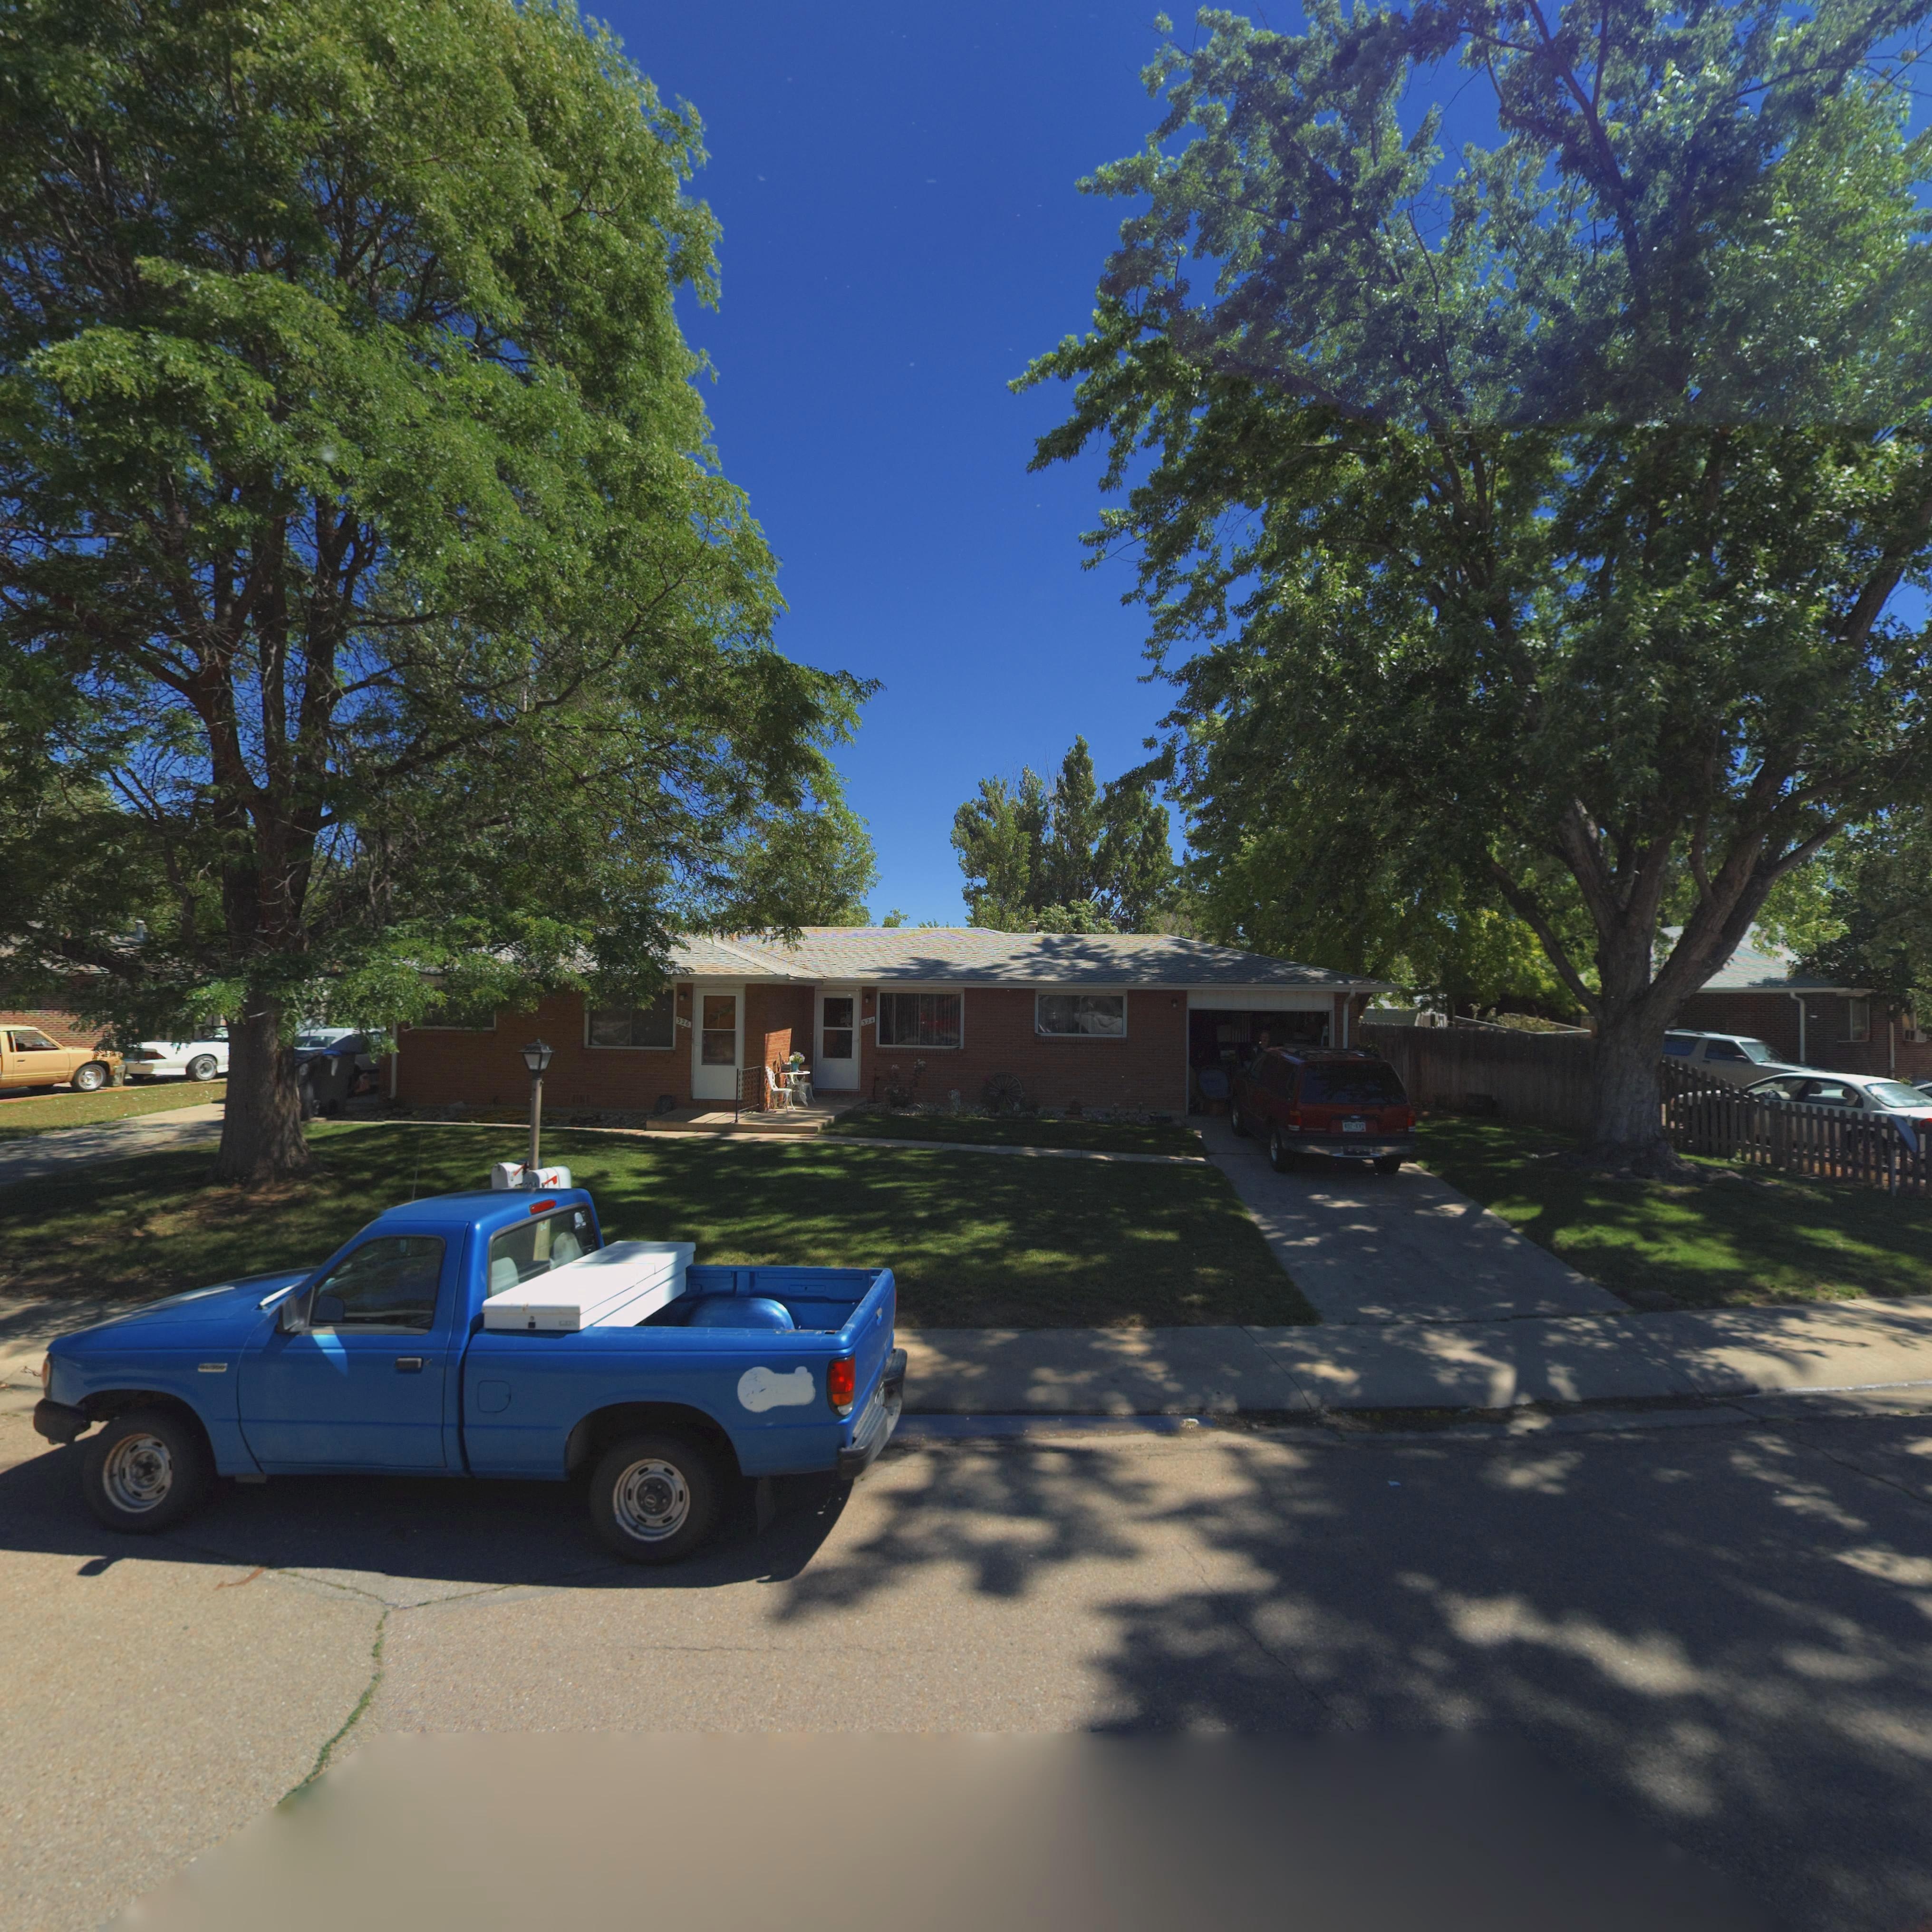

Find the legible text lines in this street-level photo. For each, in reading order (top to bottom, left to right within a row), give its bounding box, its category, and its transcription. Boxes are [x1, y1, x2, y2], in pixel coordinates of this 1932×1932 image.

[676, 1016, 690, 1027] StreetNumber: 326
[861, 1017, 874, 1026] StreetNumber: 324